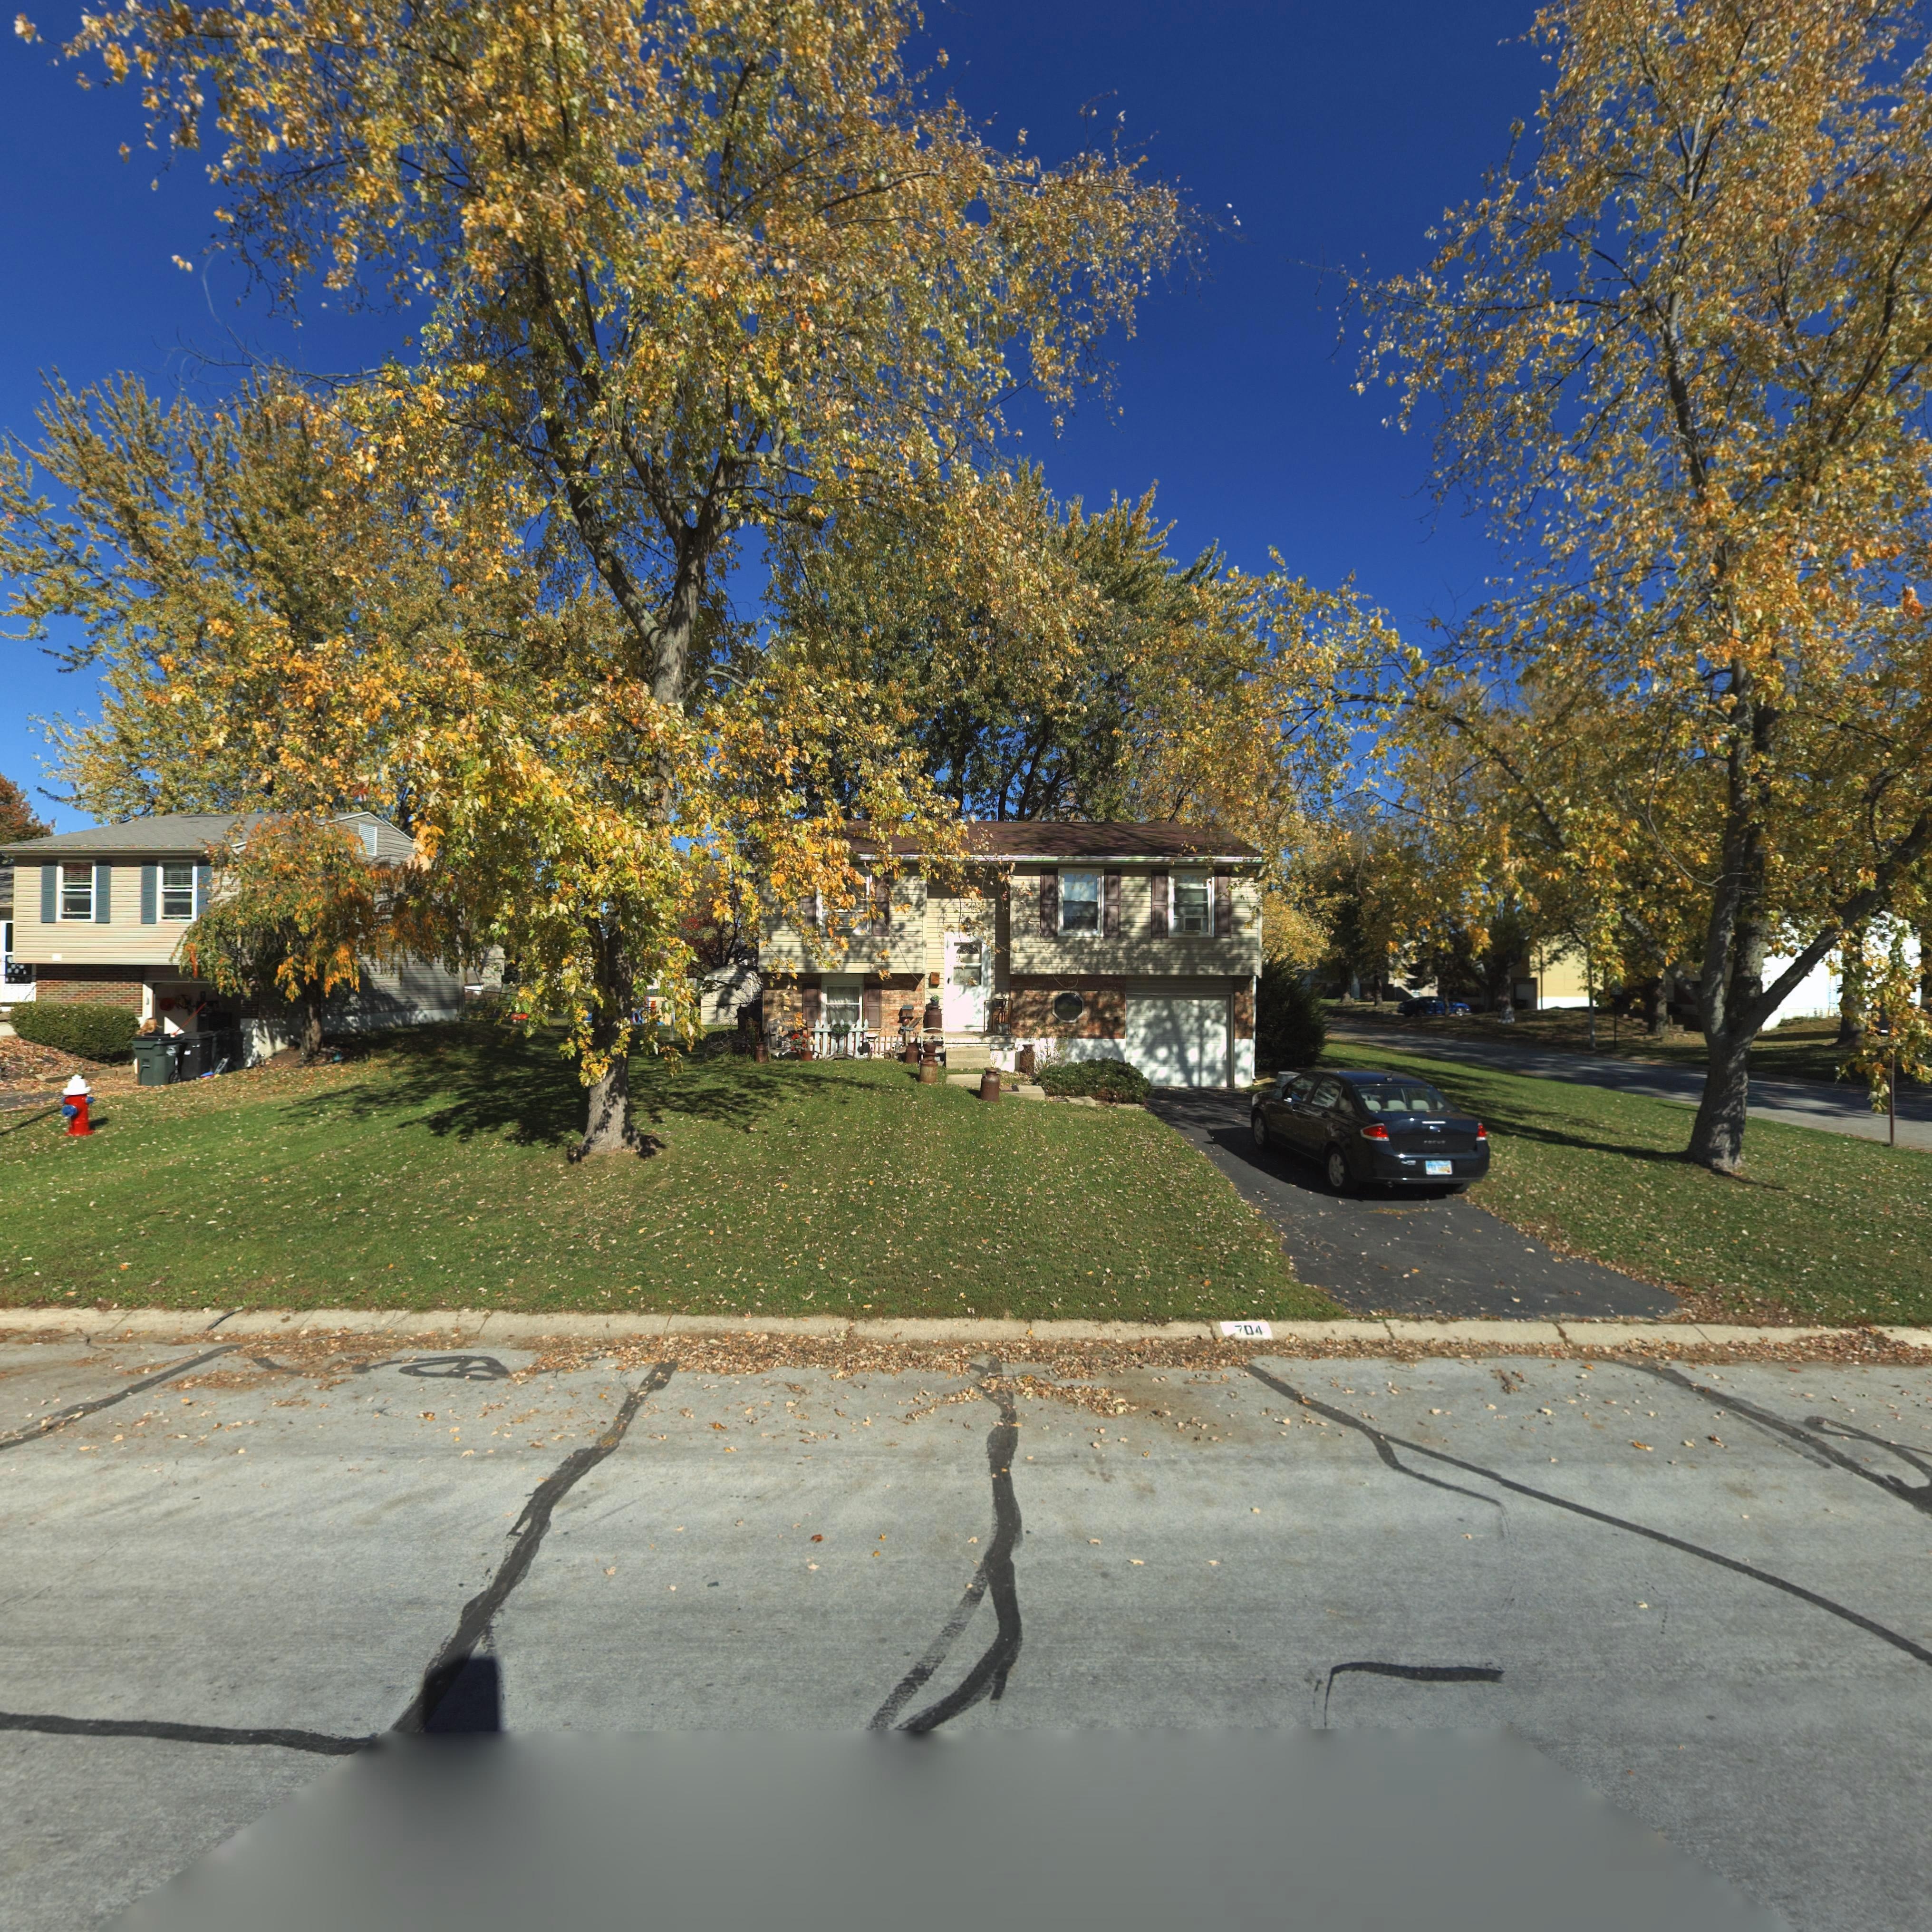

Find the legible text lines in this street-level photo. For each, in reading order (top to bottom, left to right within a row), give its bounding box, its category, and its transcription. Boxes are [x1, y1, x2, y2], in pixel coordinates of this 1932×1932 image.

[1234, 1324, 1264, 1336] StreetNumber: 704